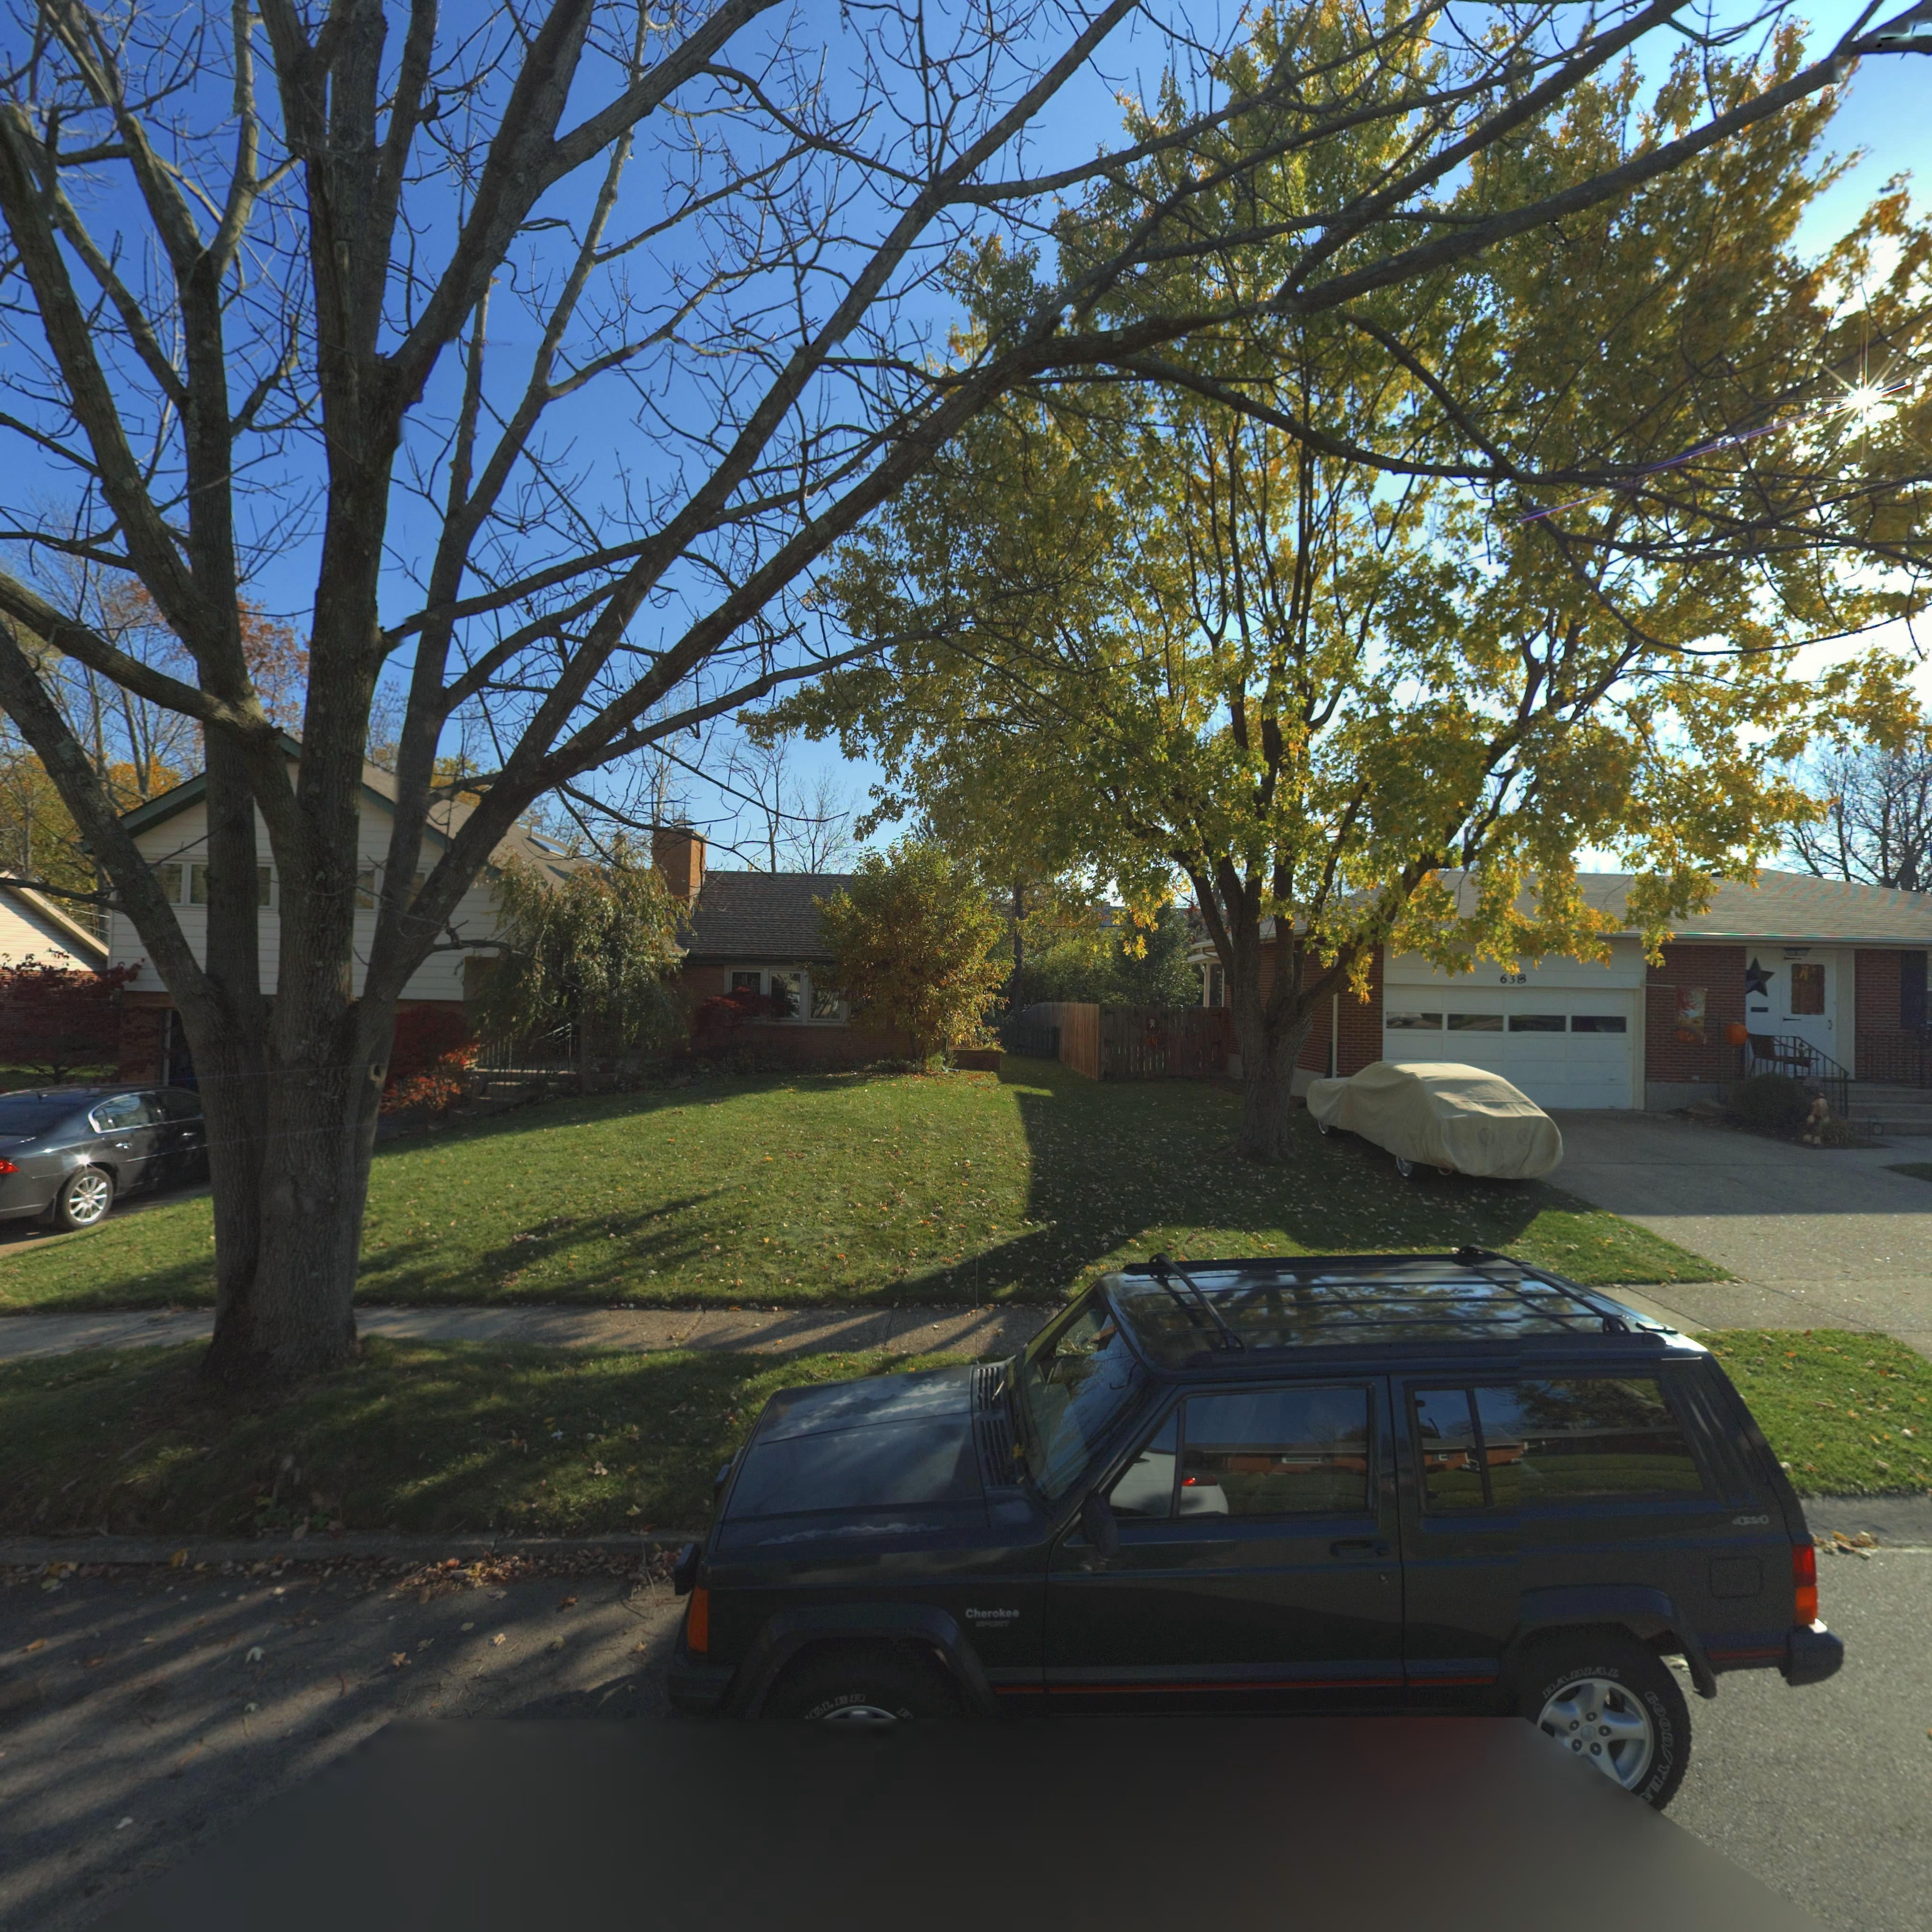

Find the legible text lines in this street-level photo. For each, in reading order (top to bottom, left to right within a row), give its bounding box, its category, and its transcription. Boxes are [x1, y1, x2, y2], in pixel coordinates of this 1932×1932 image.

[1499, 973, 1526, 984] StreetNumber: 63*